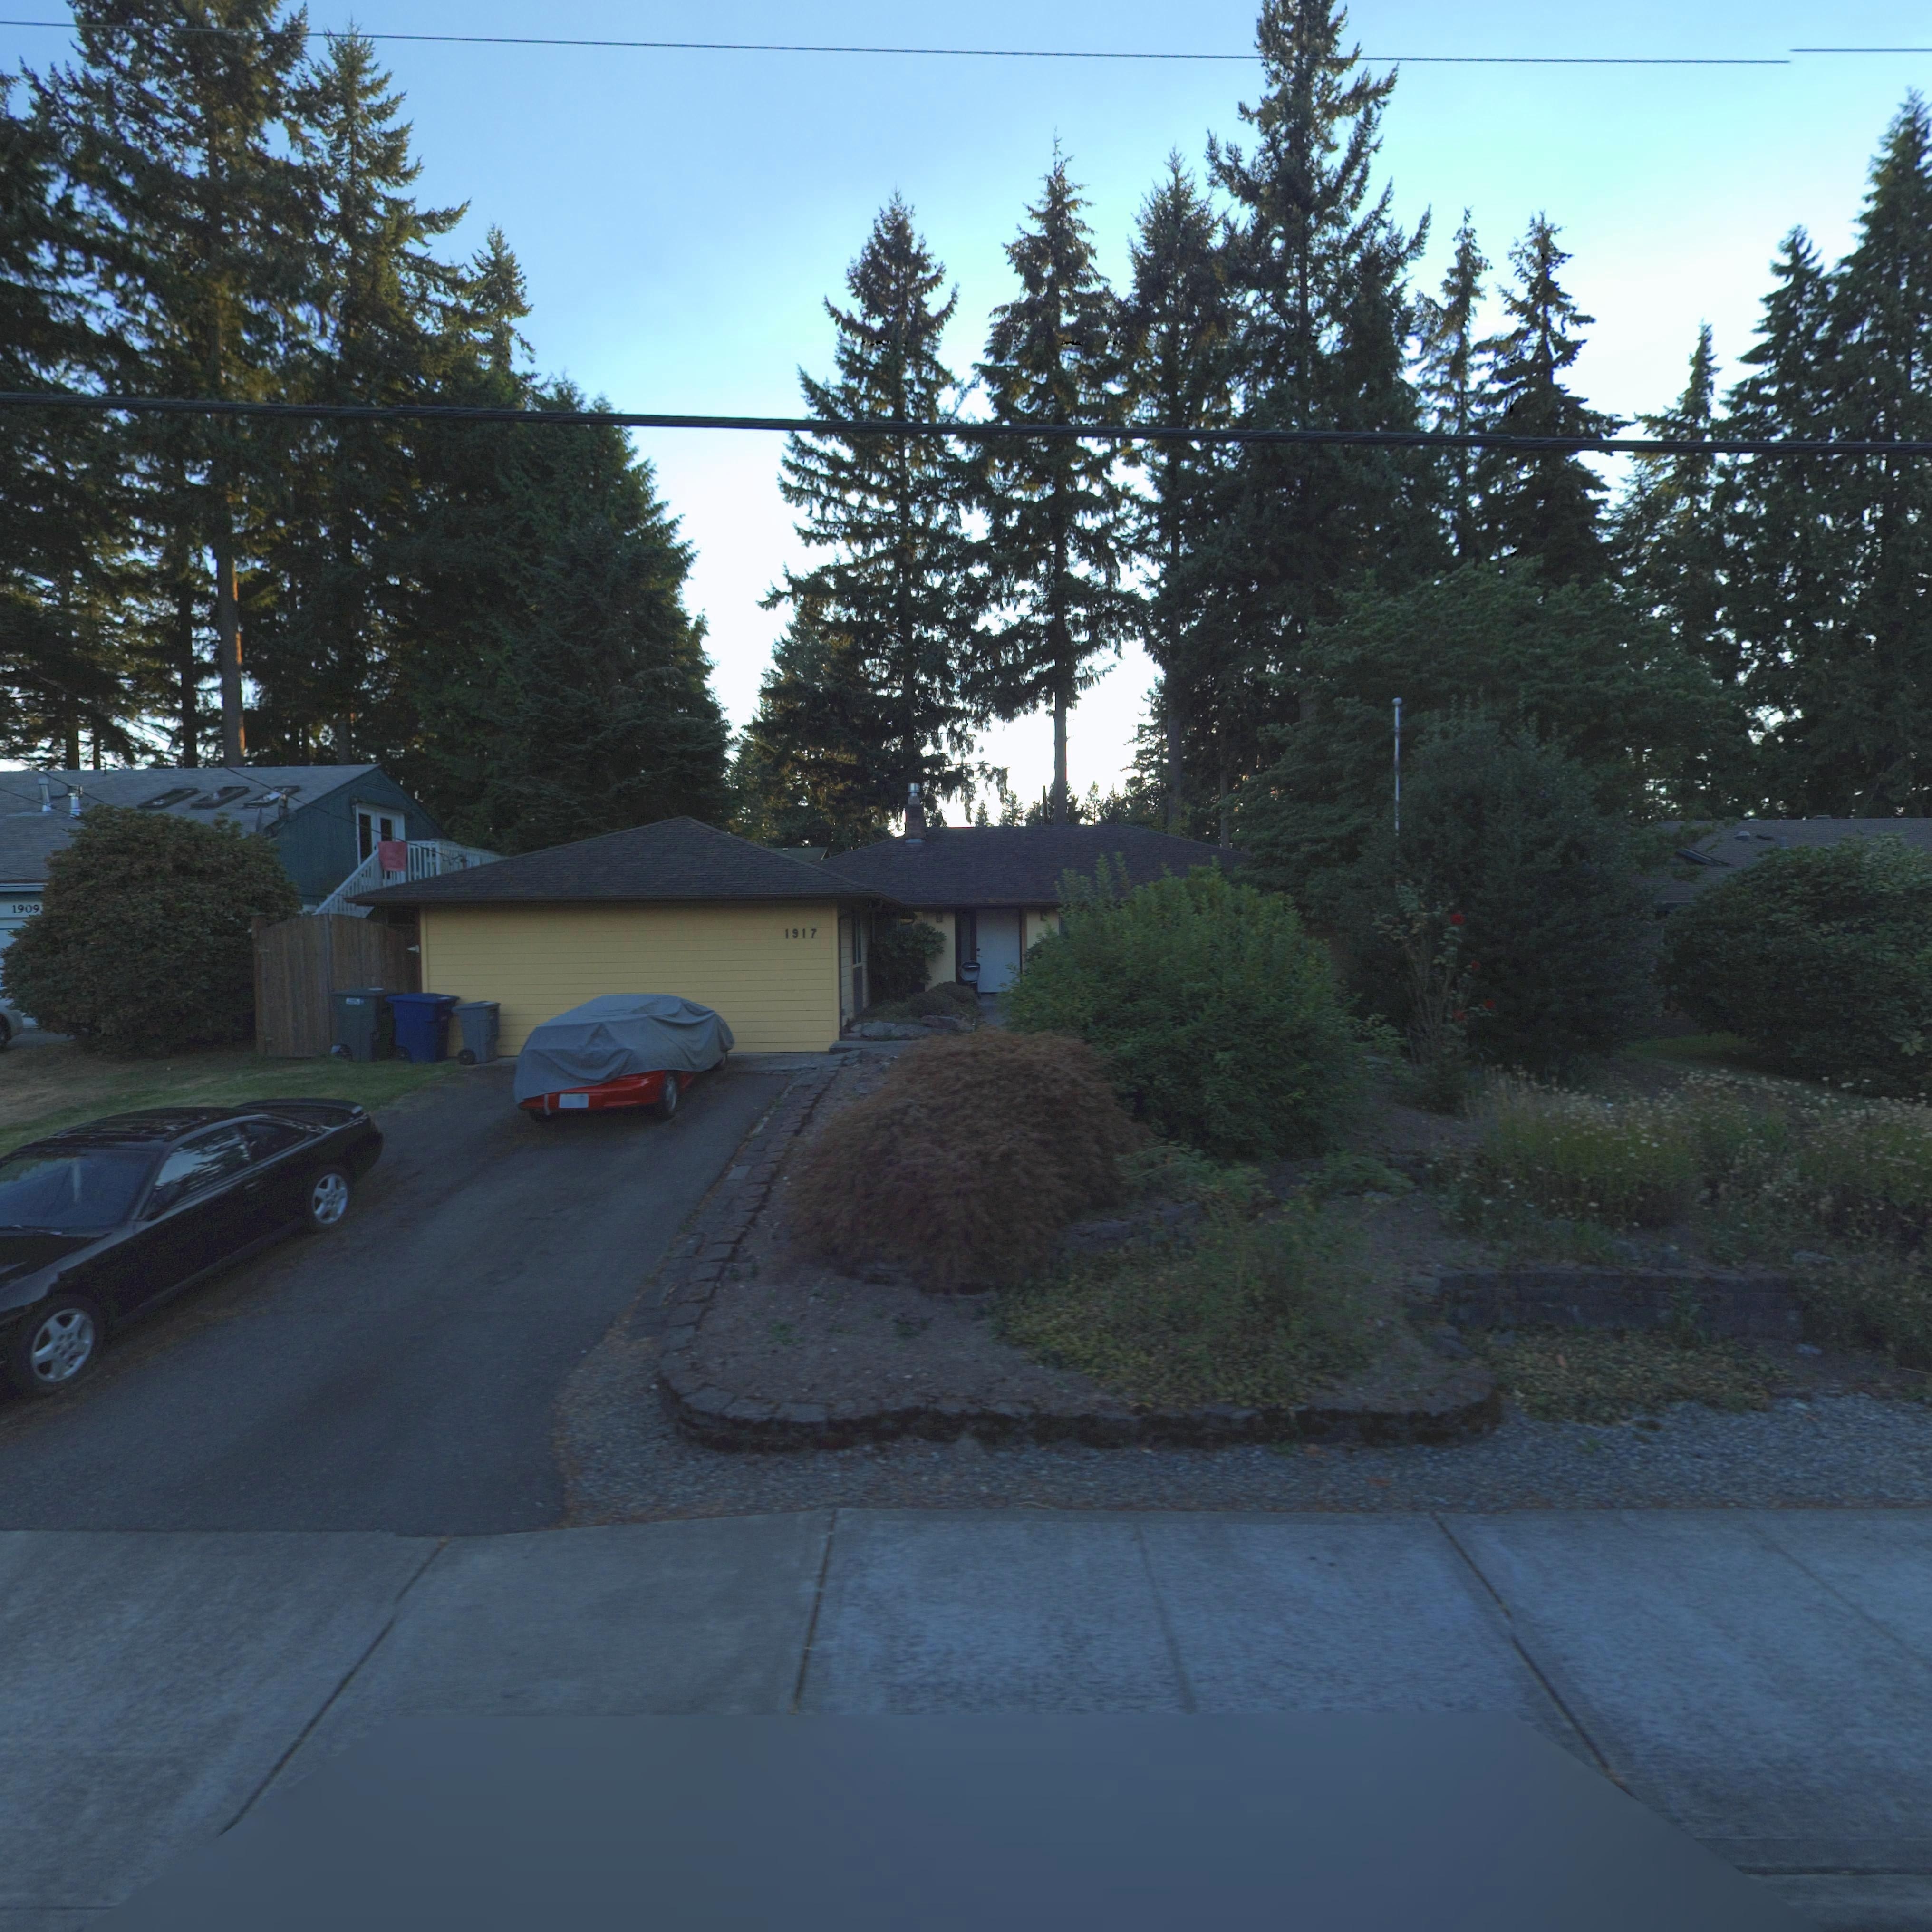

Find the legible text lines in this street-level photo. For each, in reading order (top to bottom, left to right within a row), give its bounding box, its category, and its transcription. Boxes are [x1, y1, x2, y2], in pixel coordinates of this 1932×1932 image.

[11, 903, 41, 913] StreetNumber: 1909
[784, 927, 818, 939] StreetNumber: 1917